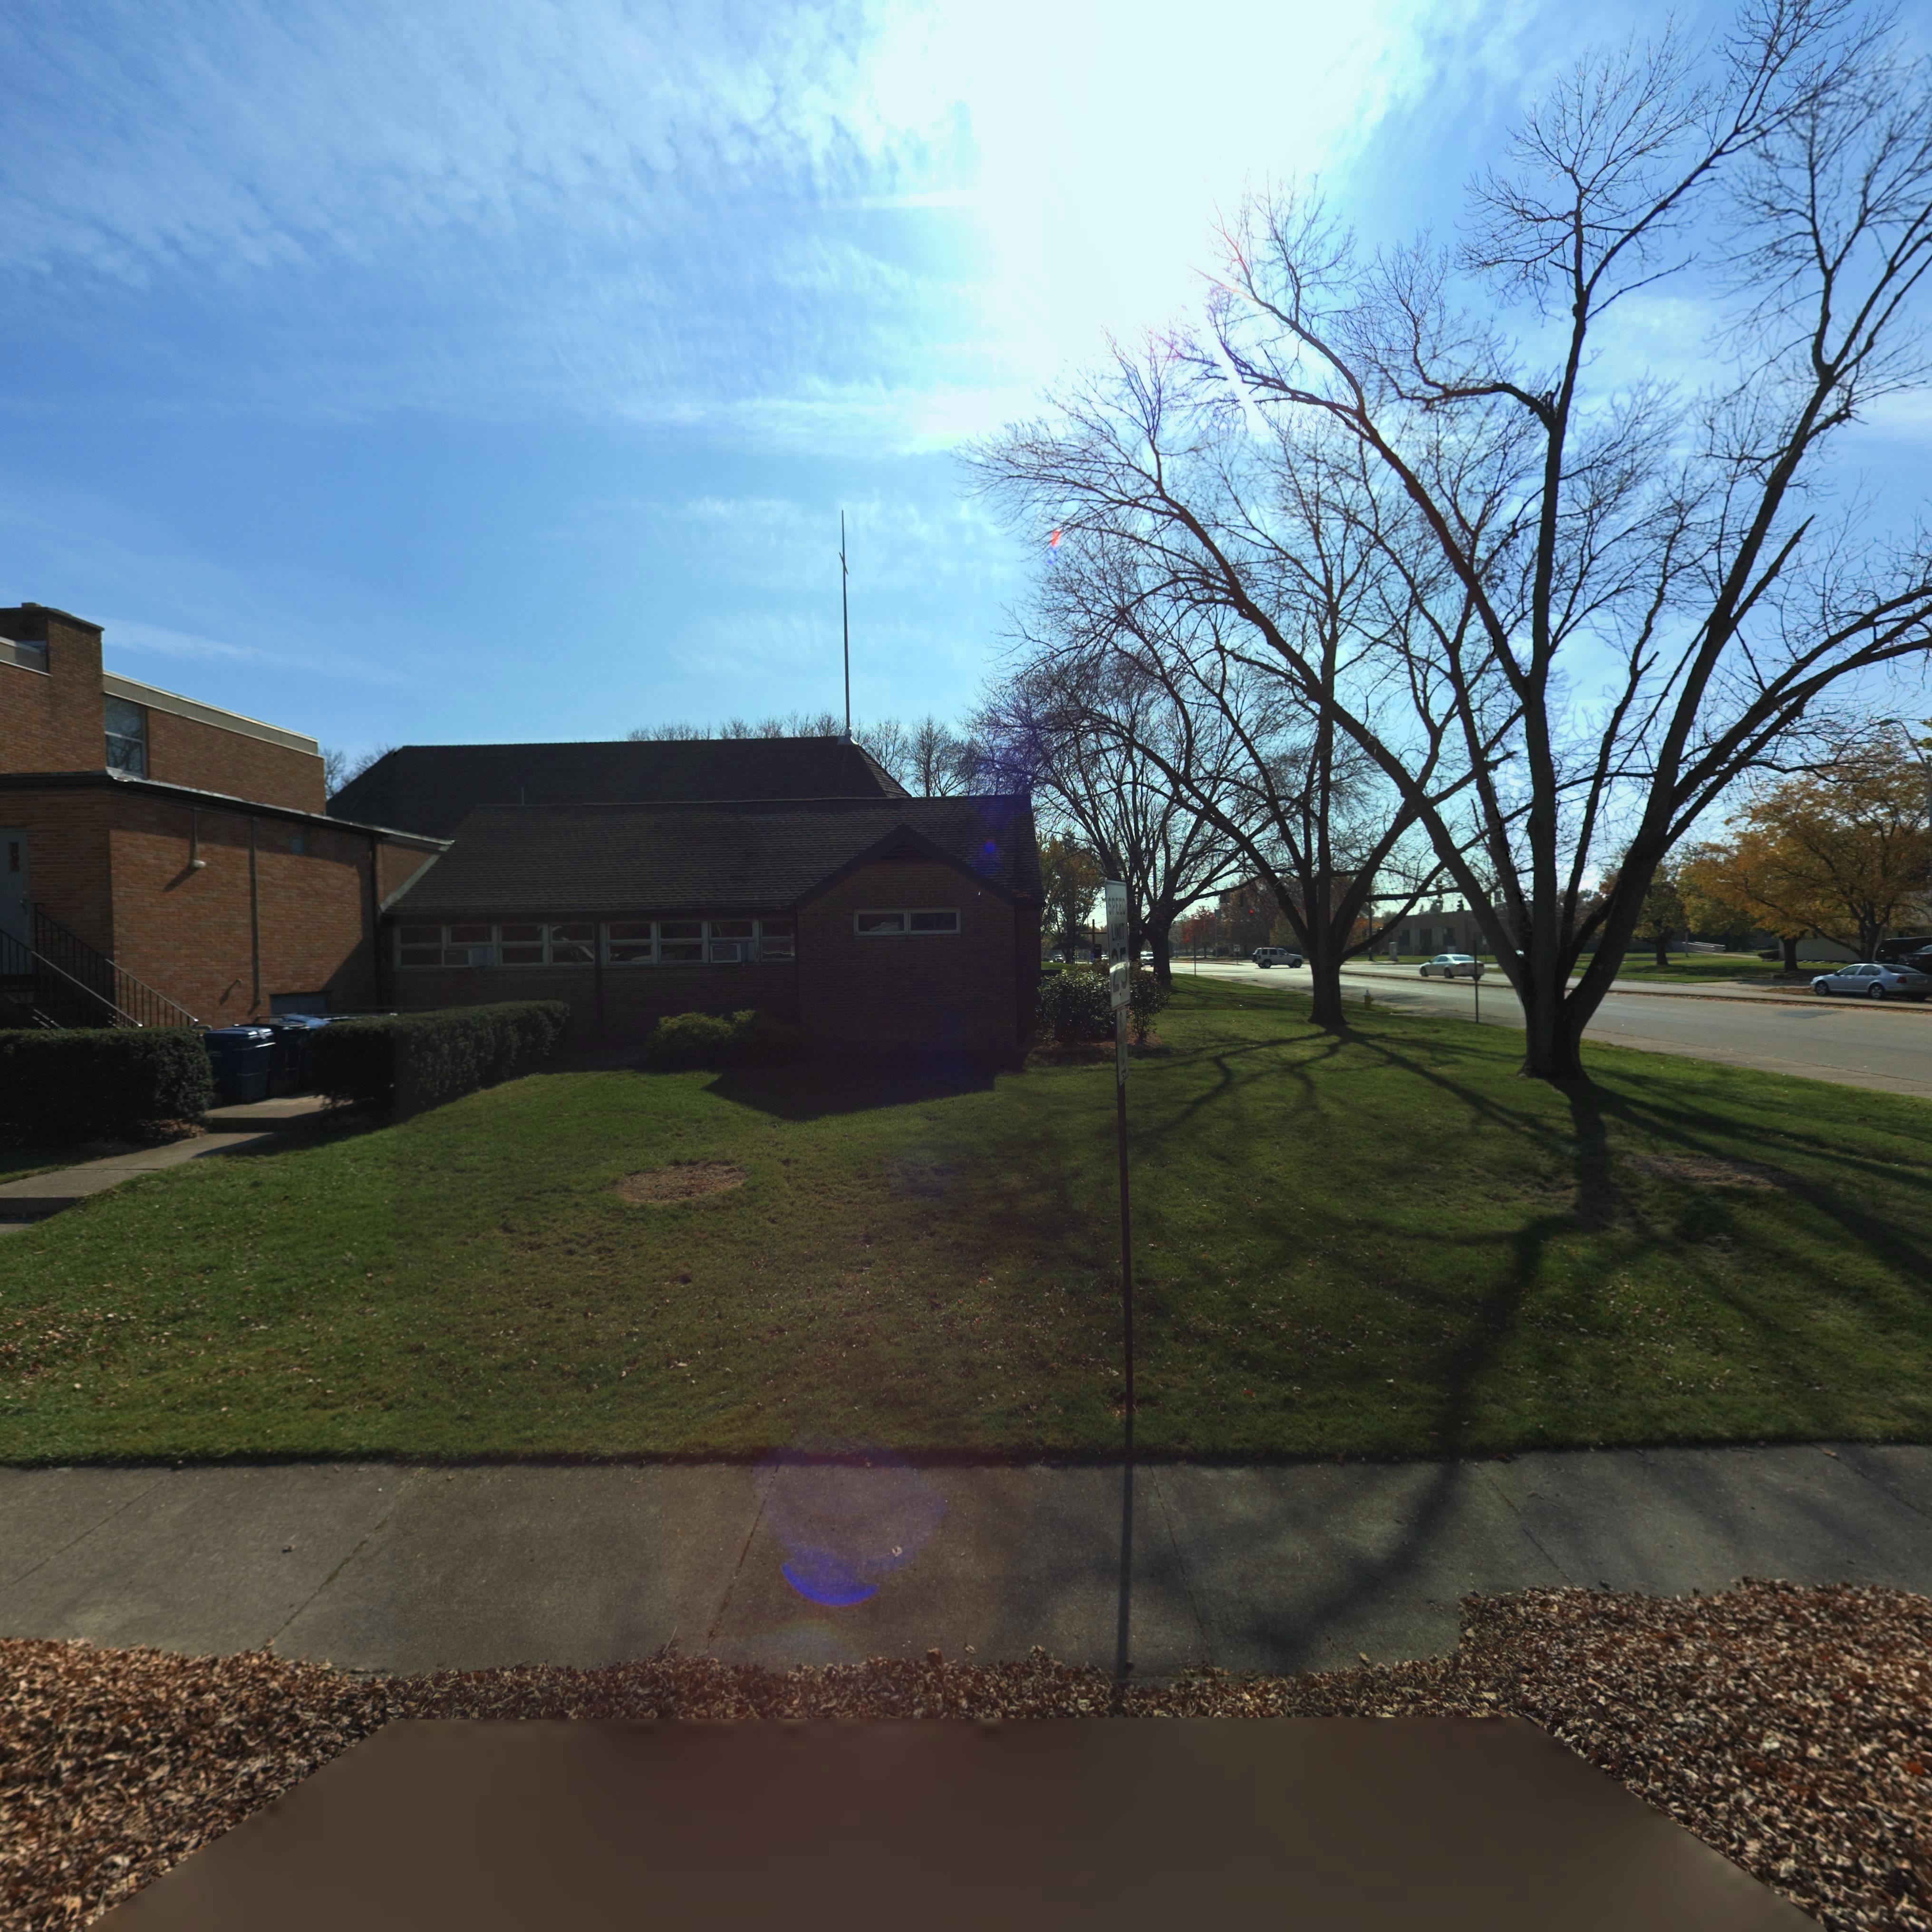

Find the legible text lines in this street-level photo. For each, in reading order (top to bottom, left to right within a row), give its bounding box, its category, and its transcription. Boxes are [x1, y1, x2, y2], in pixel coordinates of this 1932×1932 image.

[1107, 896, 1127, 917] None: SPEED
[1110, 921, 1126, 943] None: LIMIT
[1109, 945, 1130, 995] None: 25